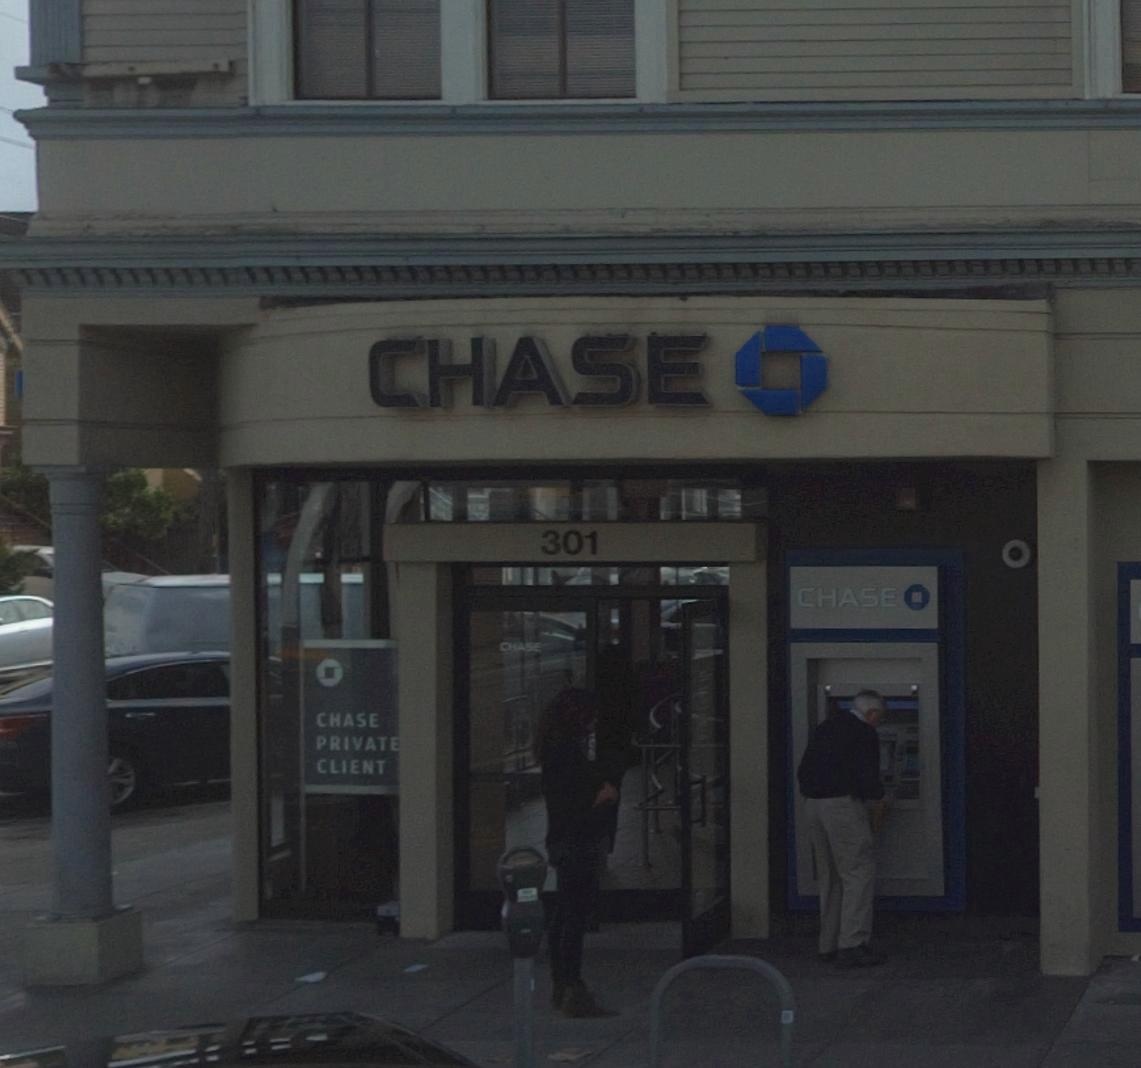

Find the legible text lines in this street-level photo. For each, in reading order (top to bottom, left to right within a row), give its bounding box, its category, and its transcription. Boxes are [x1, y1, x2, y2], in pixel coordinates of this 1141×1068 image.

[368, 334, 713, 410] BusinessName: CHASE
[541, 529, 599, 556] StreetNumber: 301
[796, 585, 899, 610] BusinessName: CHASE
[316, 711, 380, 729] BusinessName: CHASE
[315, 734, 401, 752] None: PRIVATE
[315, 758, 387, 776] None: CLIENT